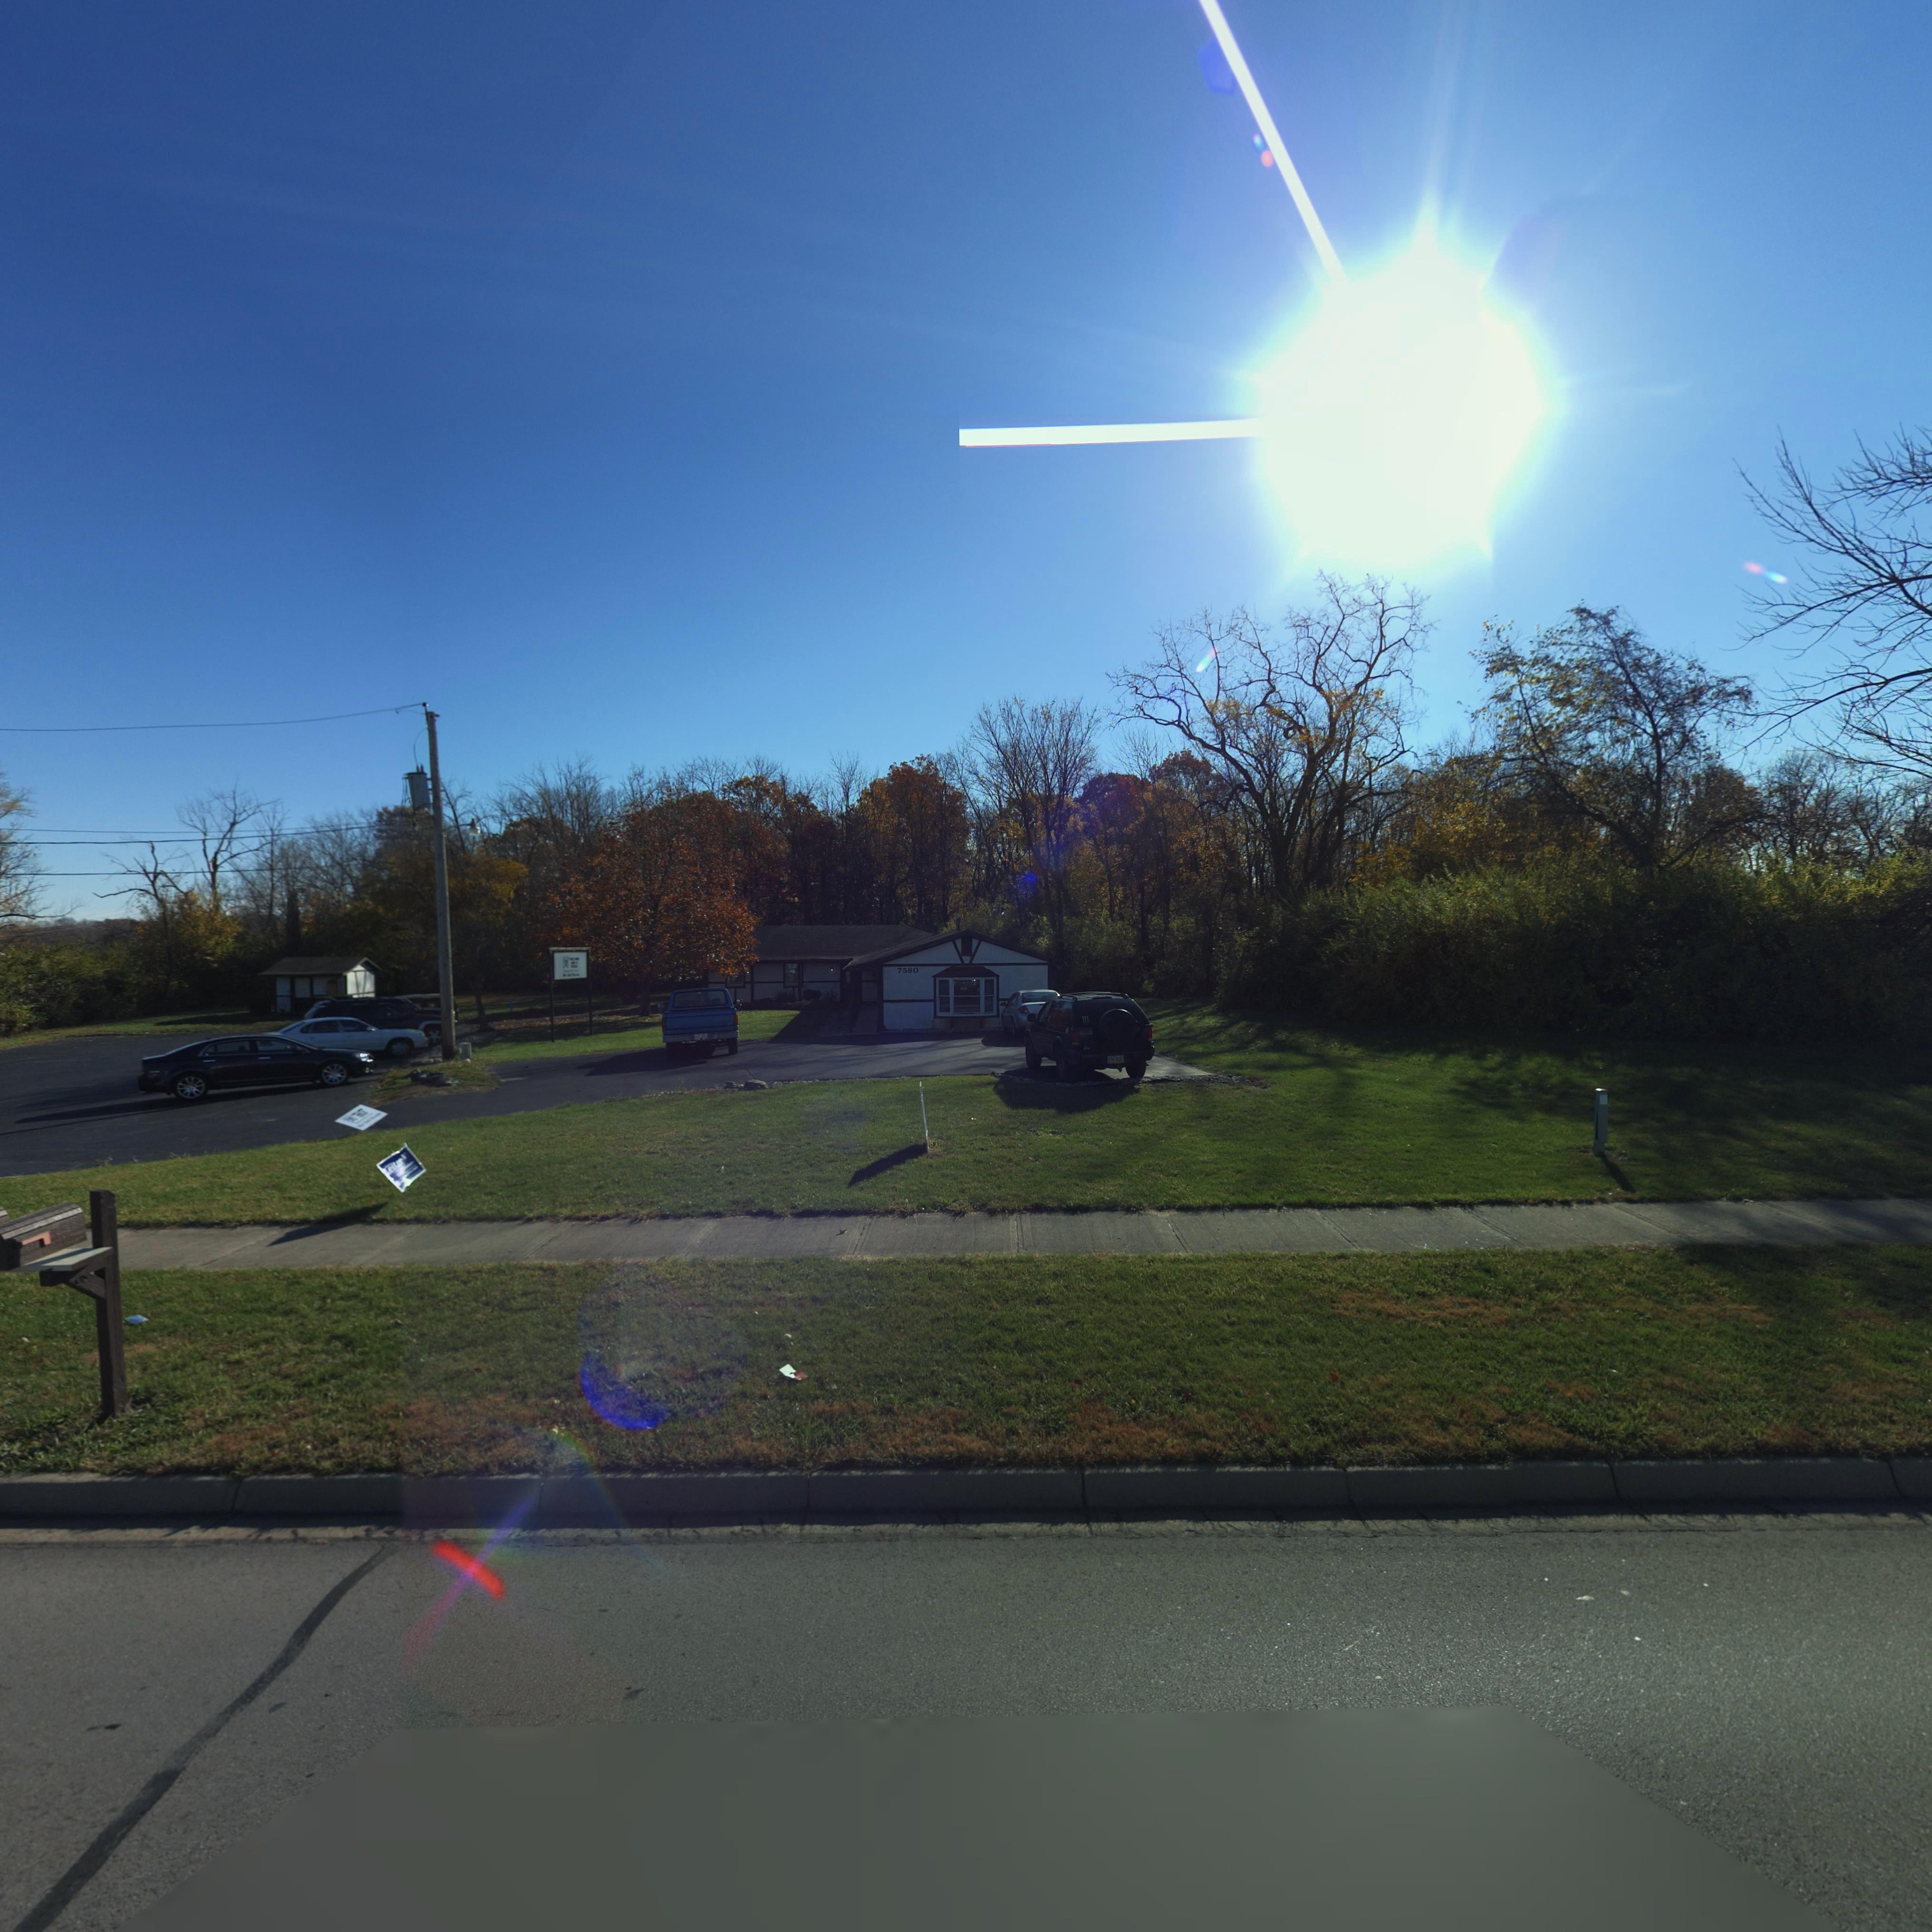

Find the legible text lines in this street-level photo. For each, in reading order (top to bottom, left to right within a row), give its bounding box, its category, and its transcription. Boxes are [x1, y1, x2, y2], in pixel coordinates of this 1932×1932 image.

[897, 966, 920, 975] StreetNumber: 7580